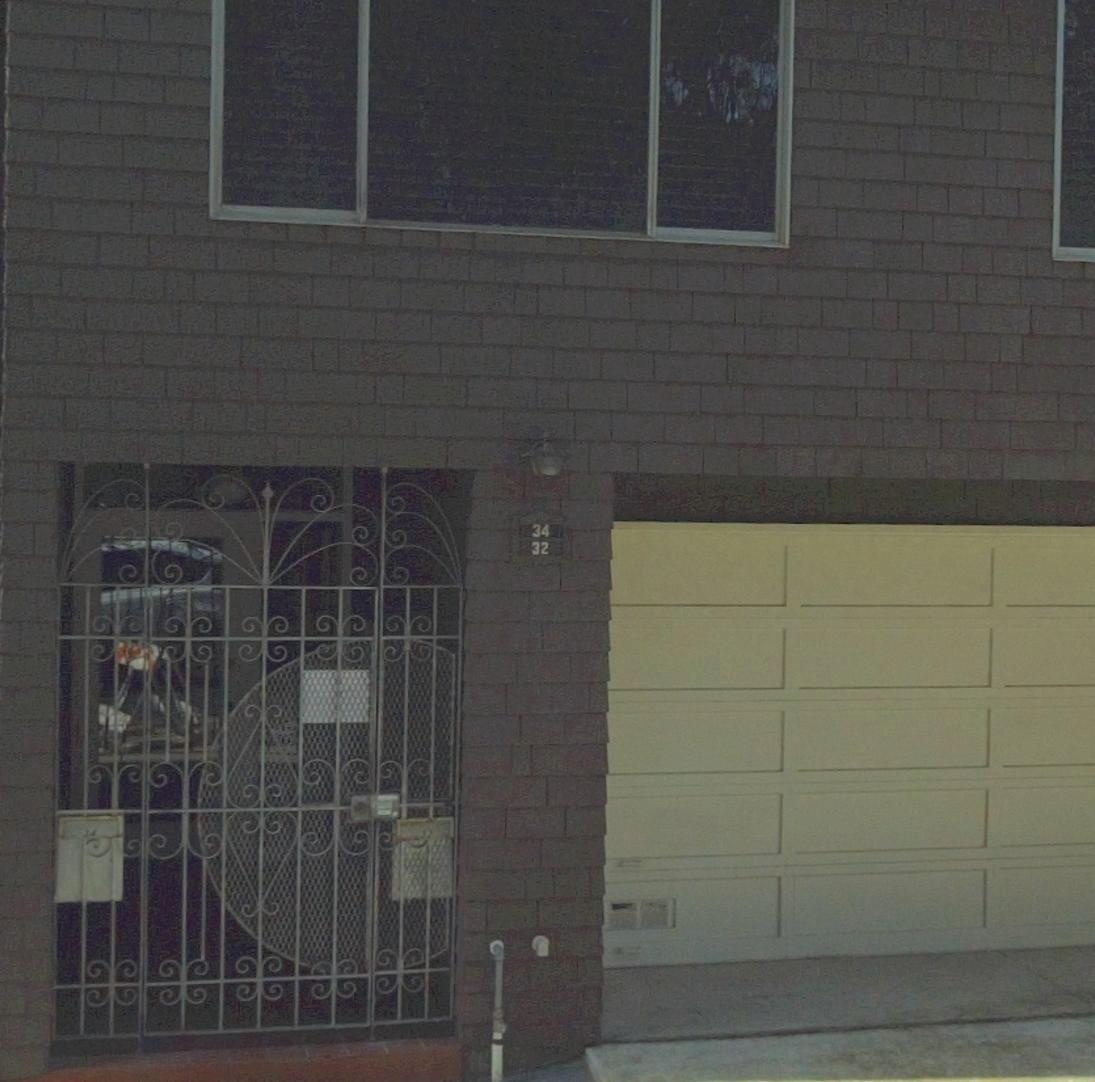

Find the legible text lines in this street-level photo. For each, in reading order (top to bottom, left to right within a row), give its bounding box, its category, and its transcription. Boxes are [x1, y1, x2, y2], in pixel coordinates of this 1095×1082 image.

[531, 523, 551, 538] StreetNumber: 34
[530, 541, 549, 555] StreetNumber: 32